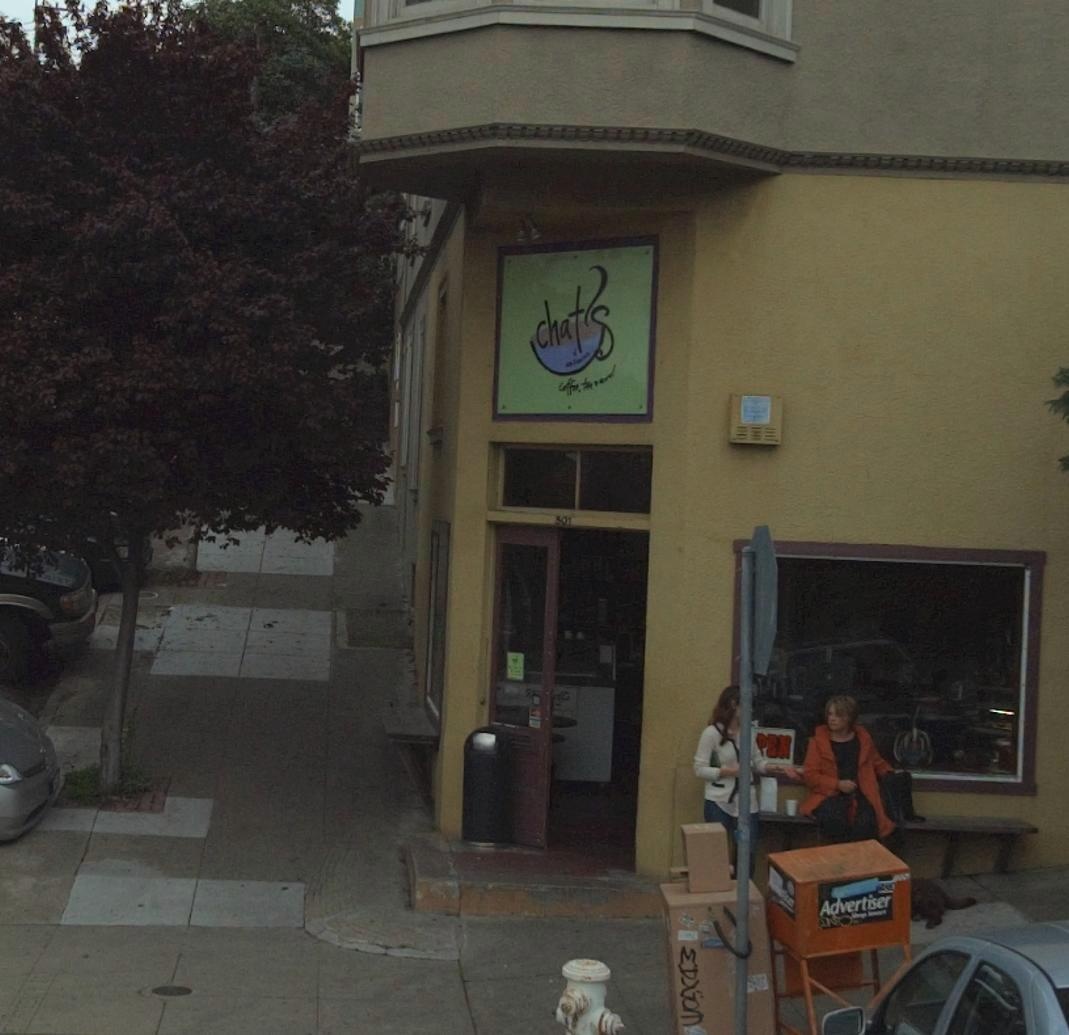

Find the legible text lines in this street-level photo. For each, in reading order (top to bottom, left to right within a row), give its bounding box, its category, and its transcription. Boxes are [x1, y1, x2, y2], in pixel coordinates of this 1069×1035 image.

[536, 282, 615, 363] BusinessName: chatS
[553, 376, 579, 395] None: coffee
[580, 374, 592, 391] None: the
[554, 515, 572, 525] StreetNumber: 301
[766, 732, 793, 759] None: EN
[818, 891, 894, 917] None: Advertiser